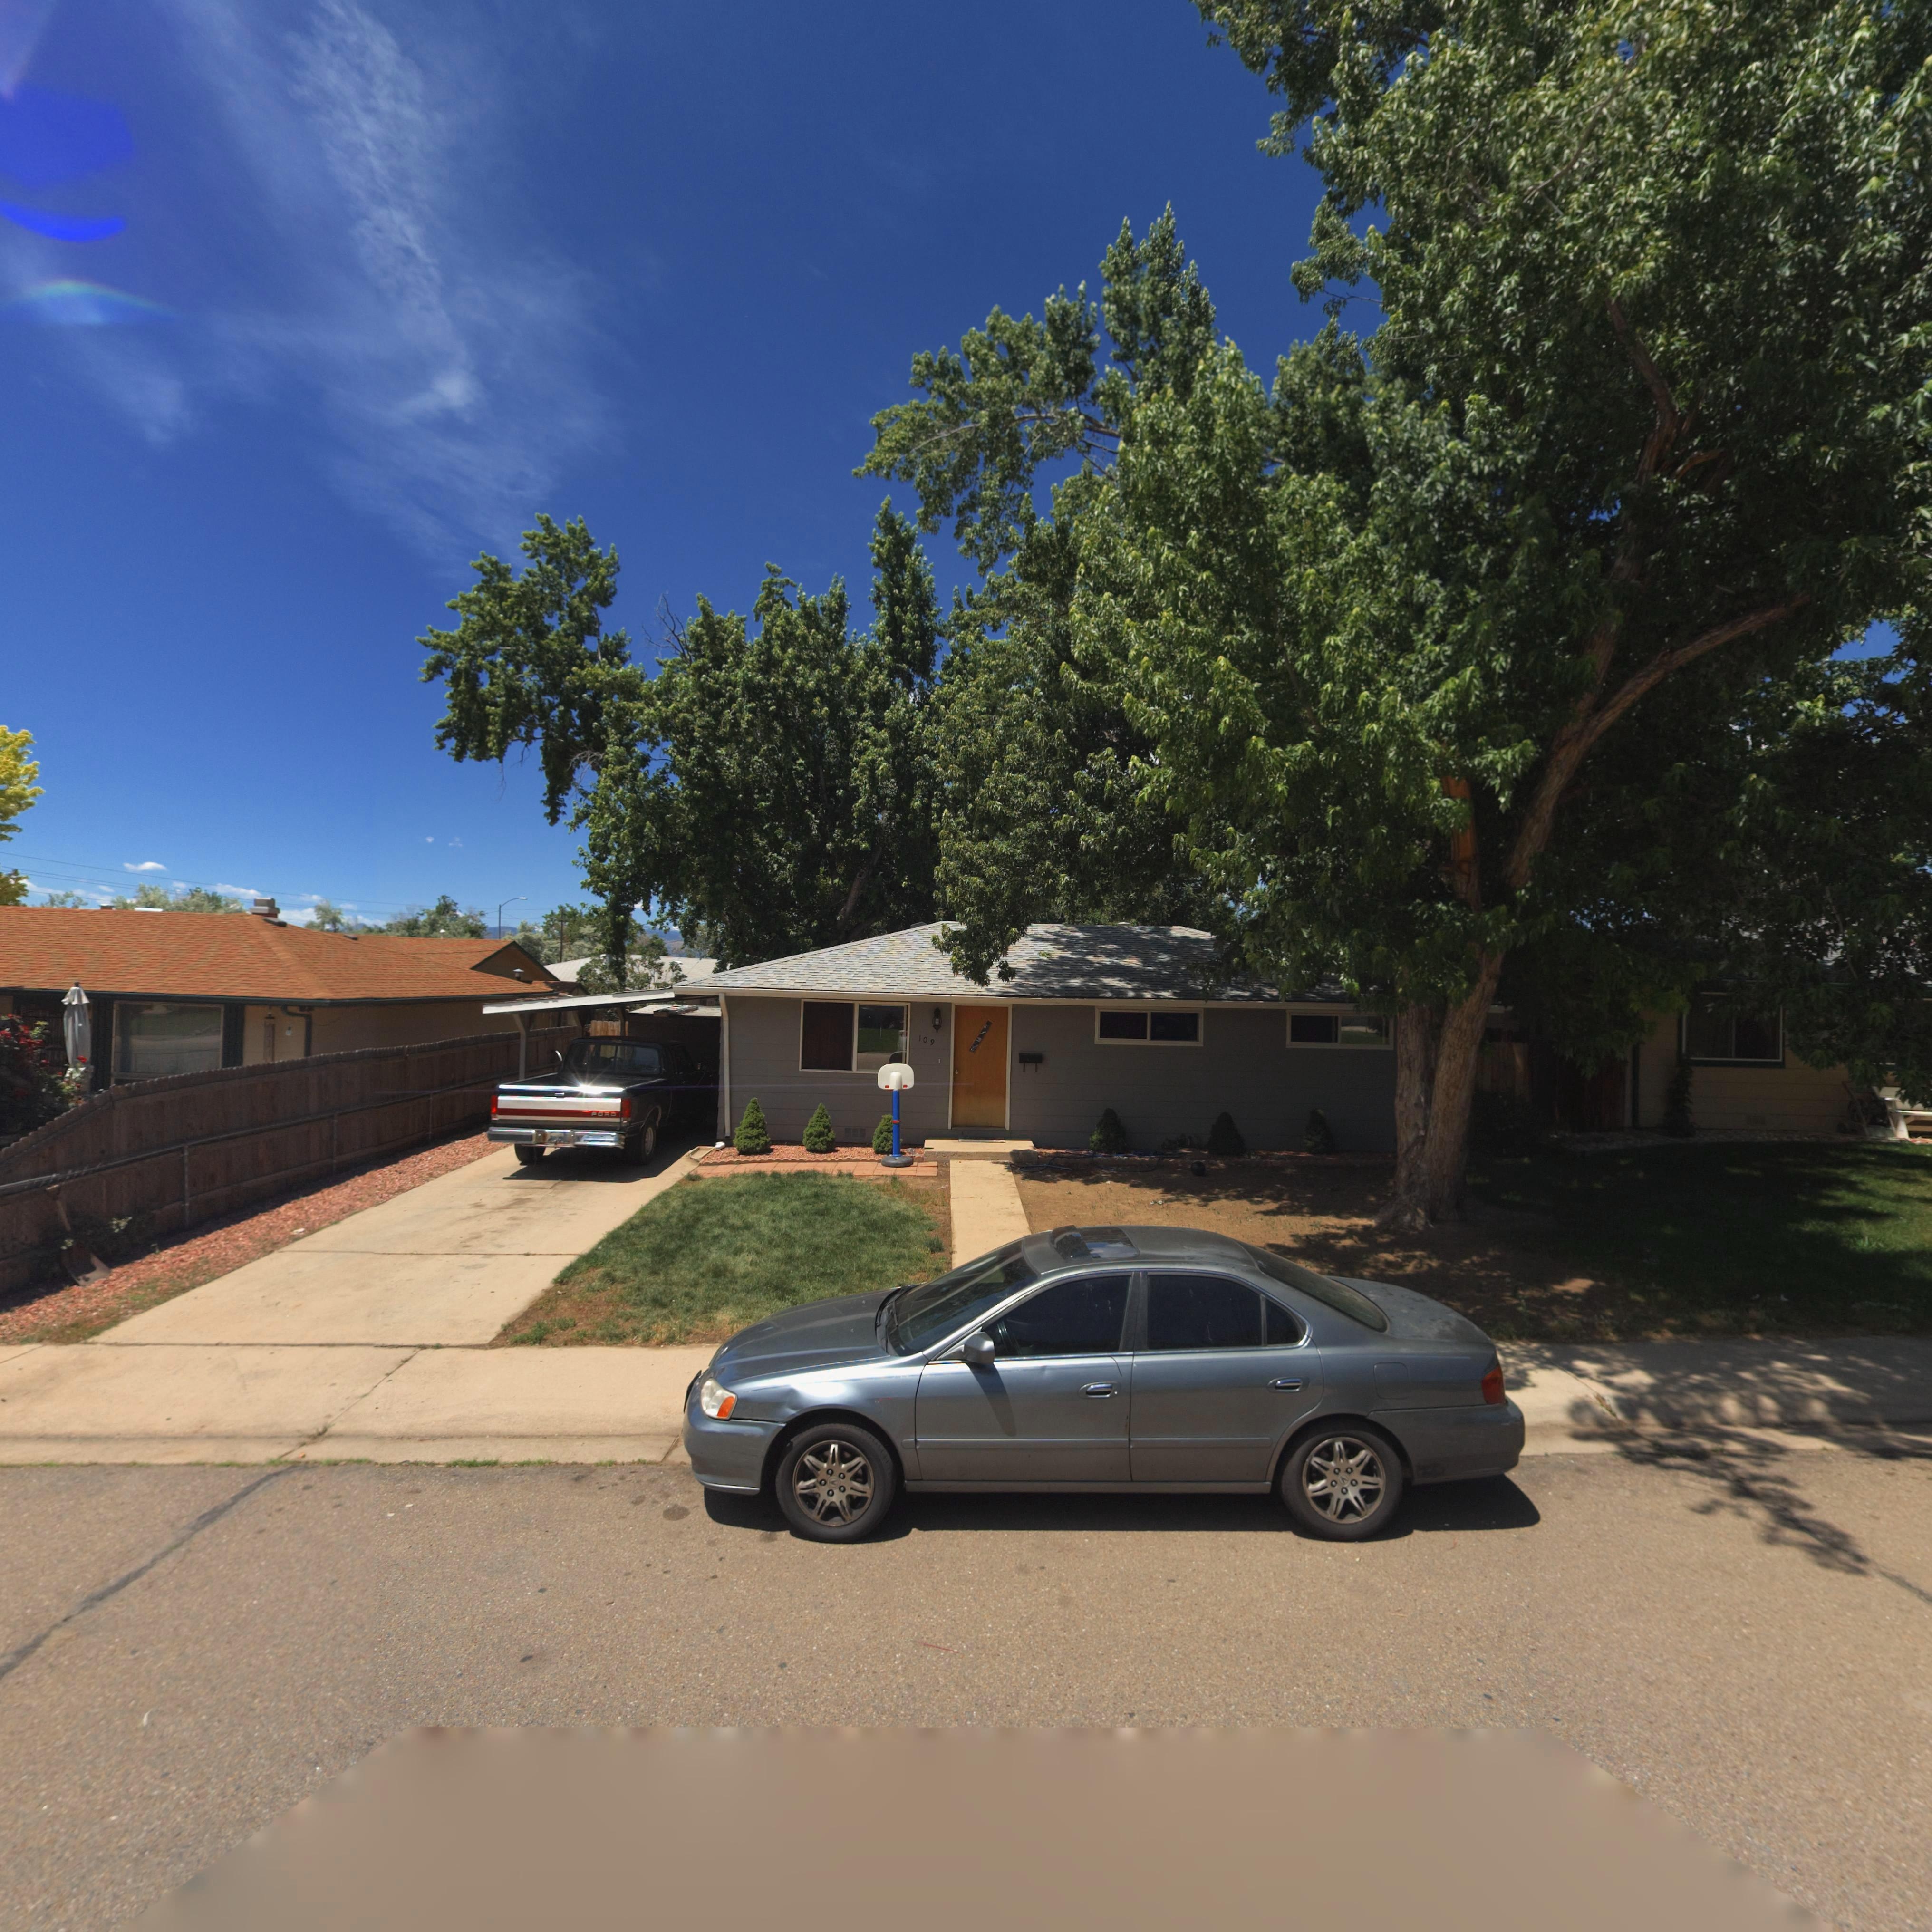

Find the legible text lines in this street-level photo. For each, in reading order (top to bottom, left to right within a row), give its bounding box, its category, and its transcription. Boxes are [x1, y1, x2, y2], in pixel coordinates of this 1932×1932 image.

[918, 1034, 935, 1046] StreetNumber: 109